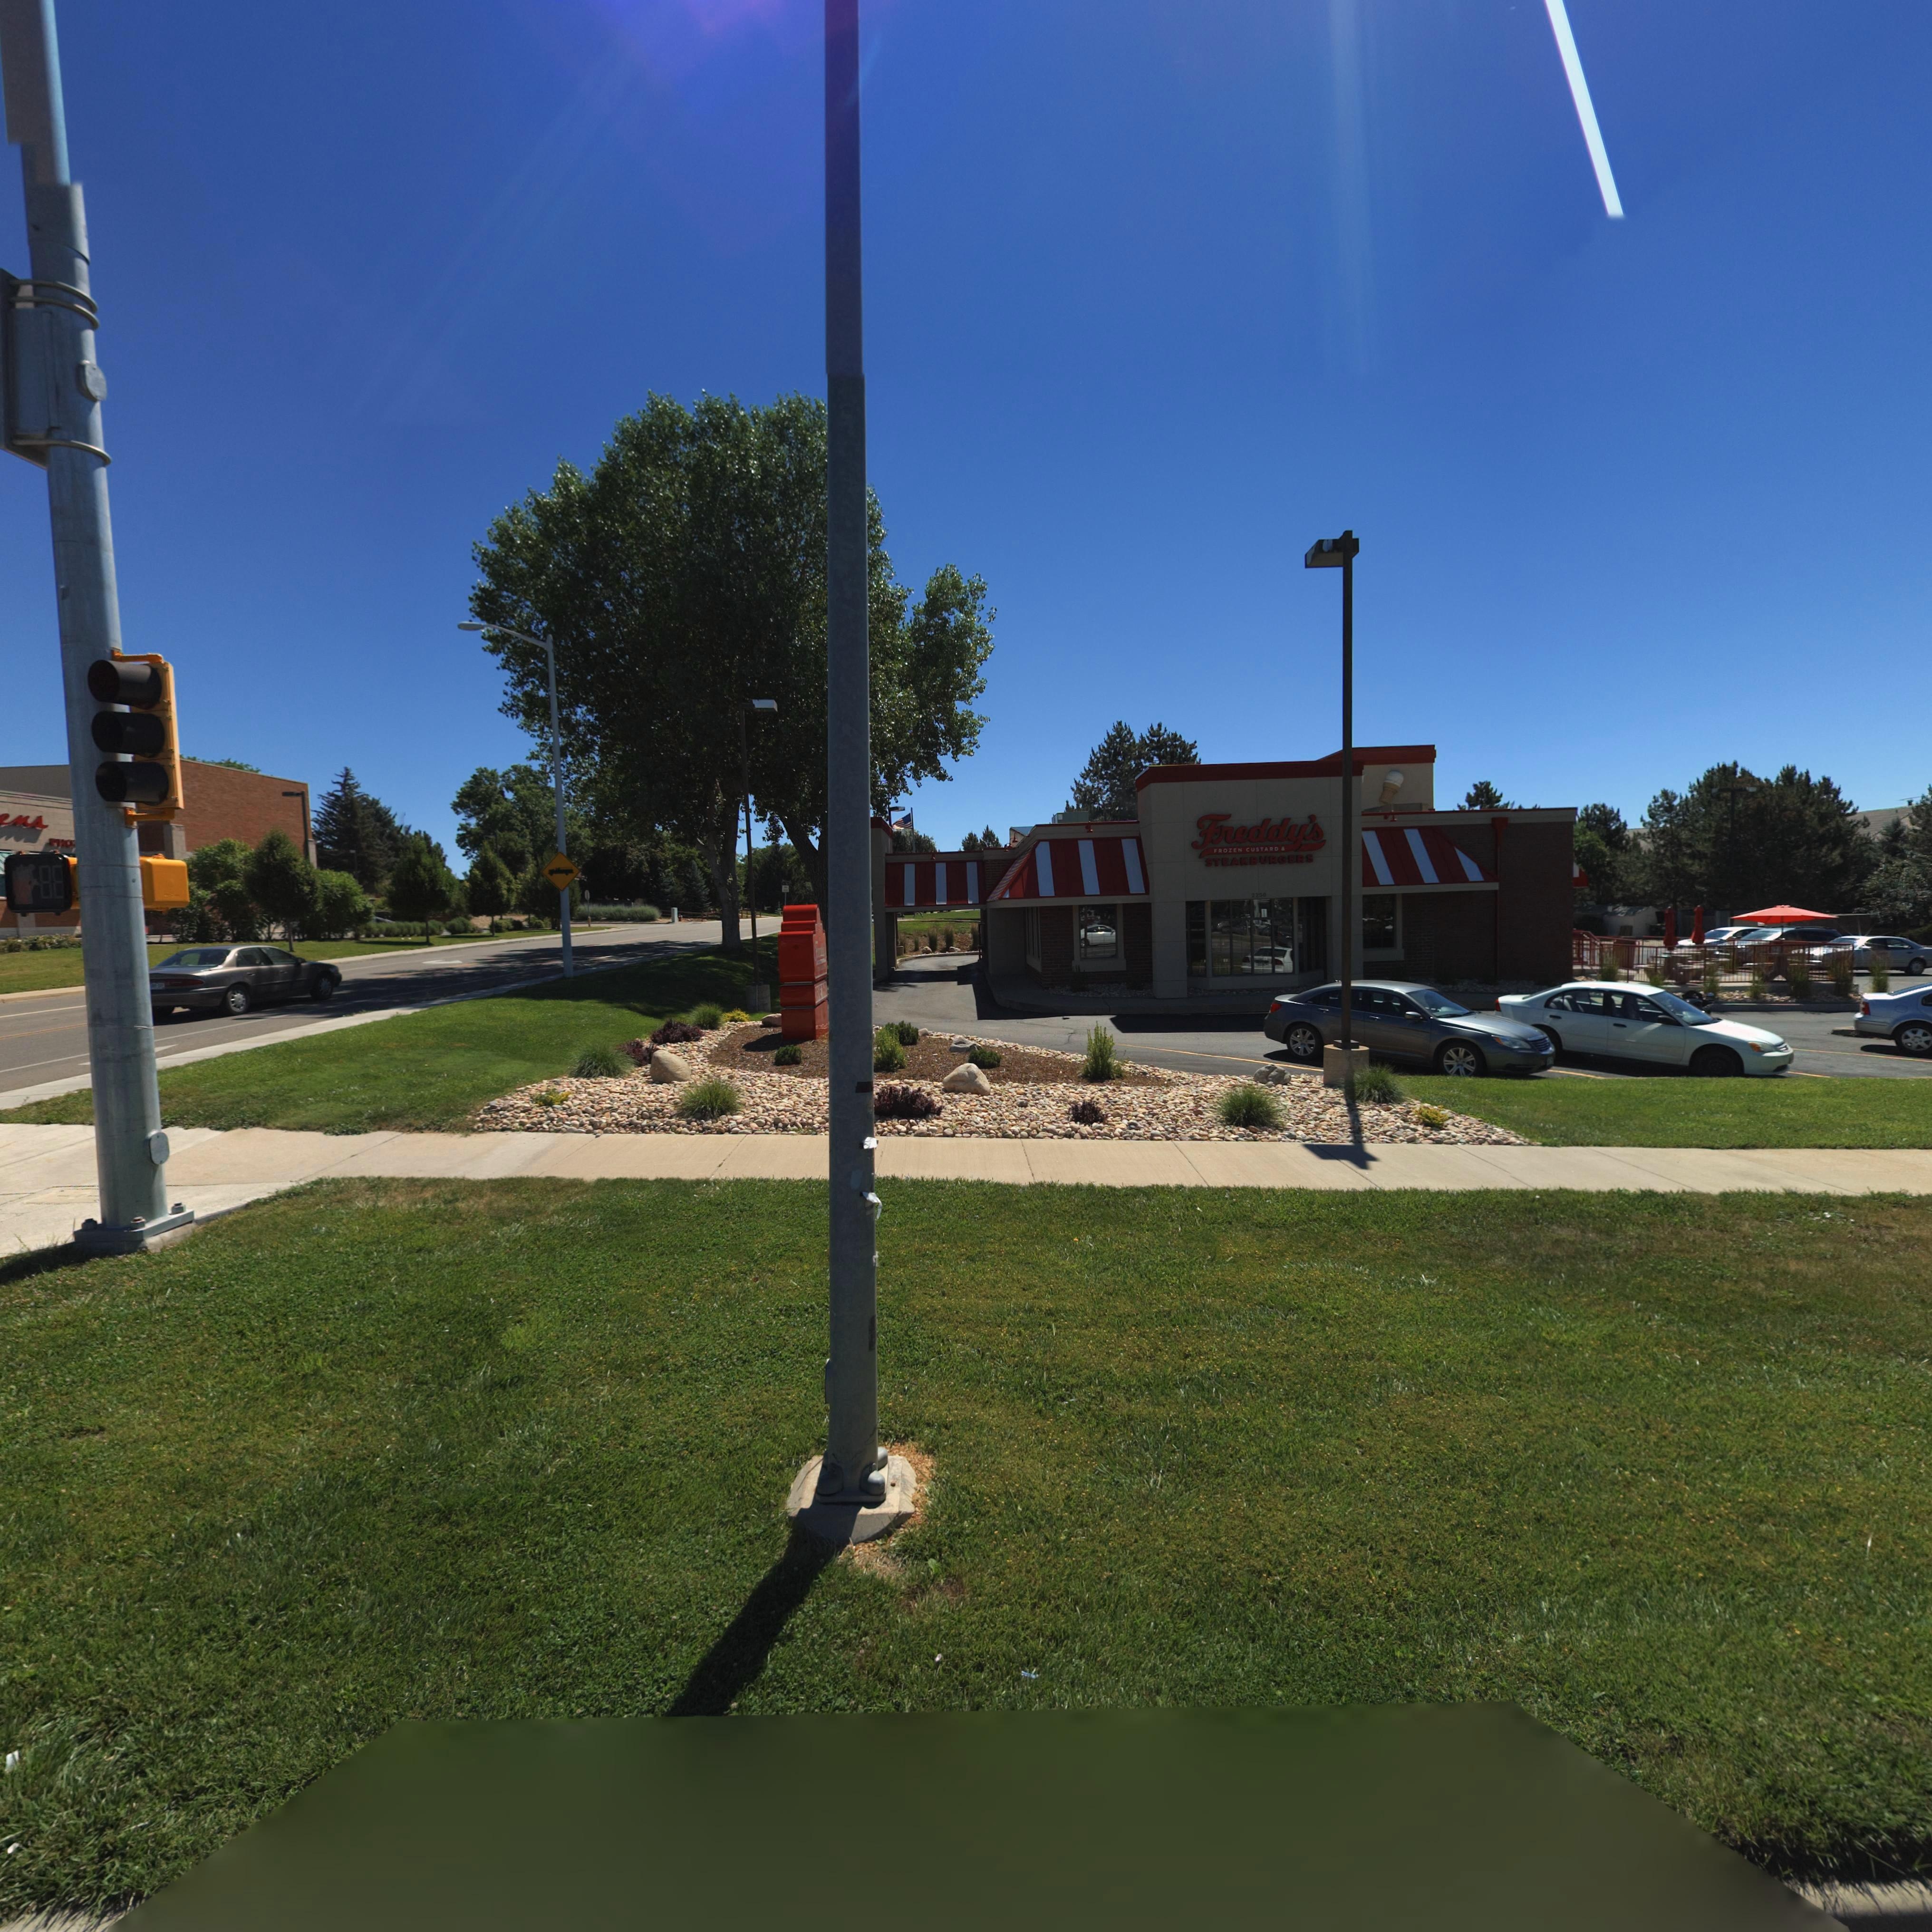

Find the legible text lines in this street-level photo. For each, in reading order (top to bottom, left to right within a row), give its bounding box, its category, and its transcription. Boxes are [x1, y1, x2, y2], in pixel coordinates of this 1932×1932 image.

[0, 812, 50, 829] BusinessName: ens
[1189, 813, 1325, 852] BusinessName: Freddy's
[1214, 846, 1285, 853] BusinessName: FROZEN CUSTARD &
[1205, 853, 1314, 867] BusinessName: STEAKBURGERS
[1251, 892, 1267, 898] StreetNumber: 2250
[814, 940, 818, 963] BusinessName: F